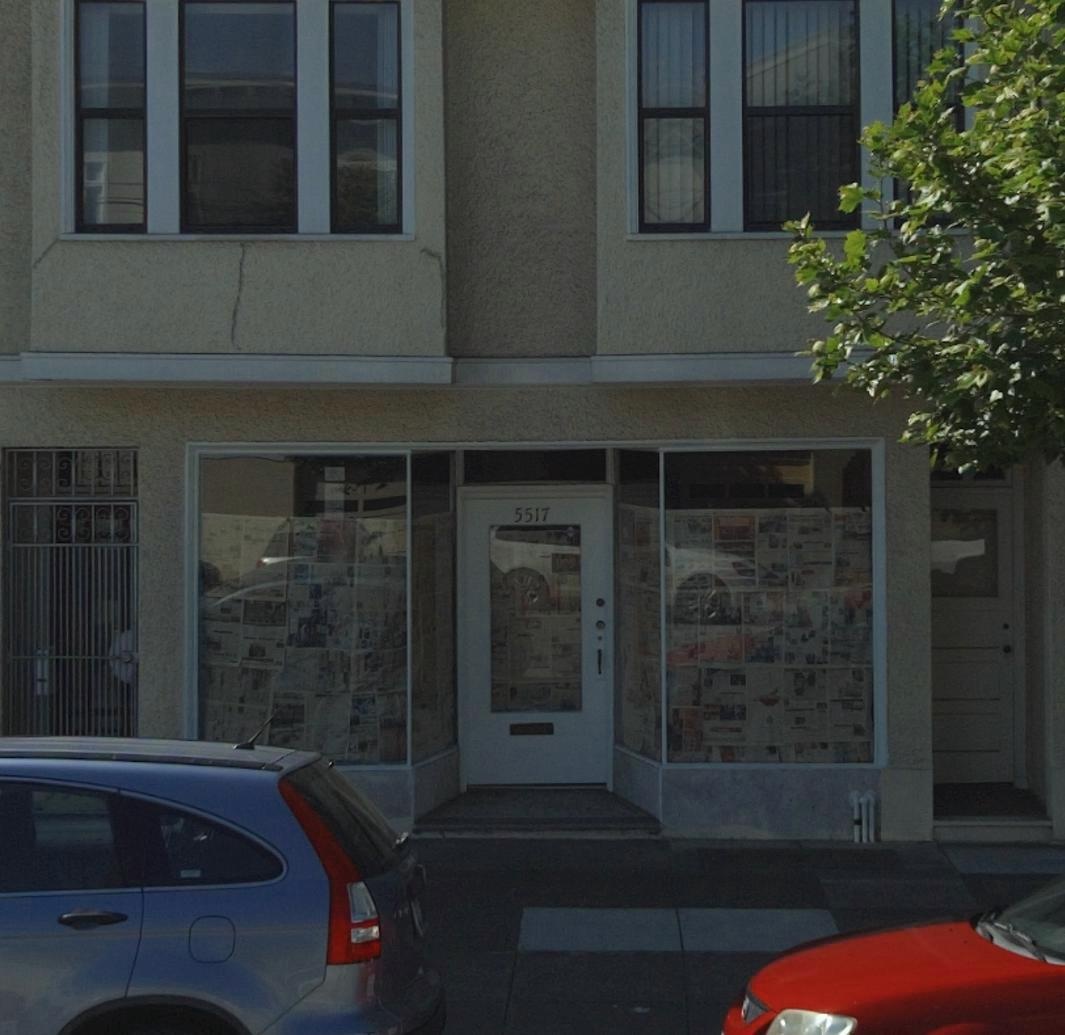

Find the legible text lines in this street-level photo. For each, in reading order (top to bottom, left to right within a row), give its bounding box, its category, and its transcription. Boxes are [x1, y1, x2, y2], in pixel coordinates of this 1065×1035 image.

[514, 506, 550, 524] StreetNumber: 5517